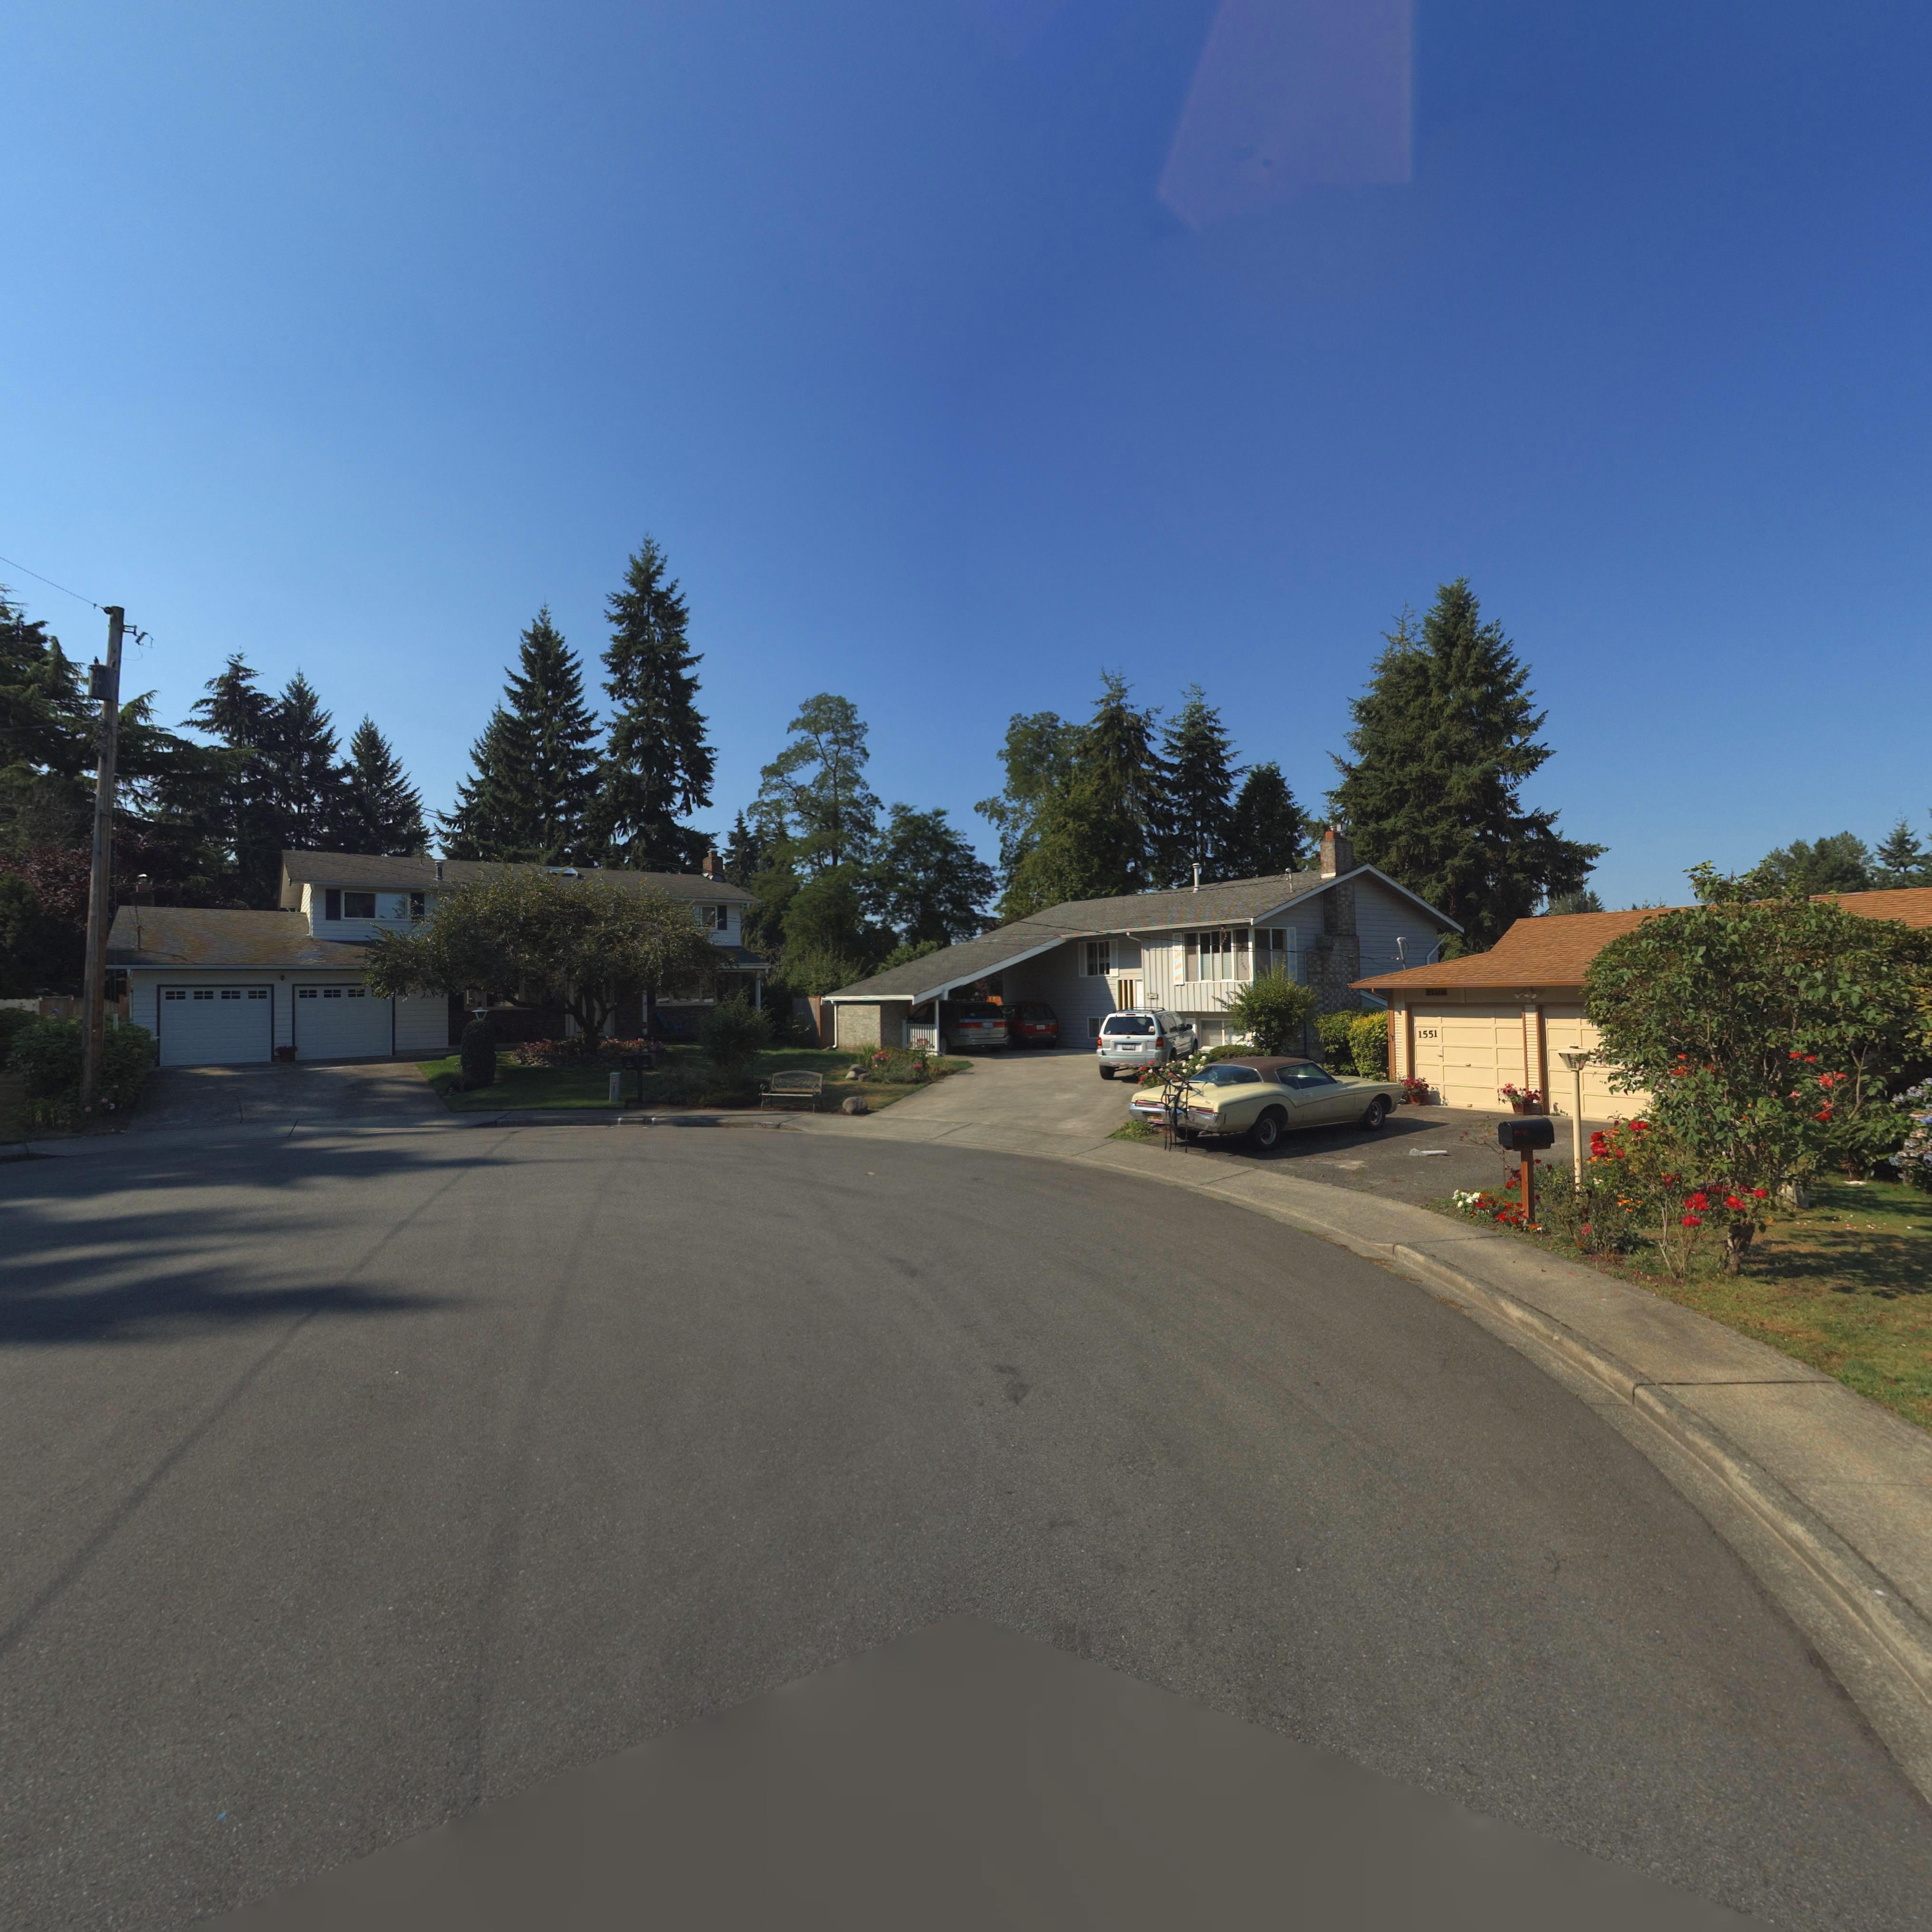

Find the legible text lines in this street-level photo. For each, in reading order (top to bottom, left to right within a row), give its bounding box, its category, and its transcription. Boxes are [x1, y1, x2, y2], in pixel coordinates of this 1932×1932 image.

[1418, 1029, 1438, 1038] StreetNumber: 1551